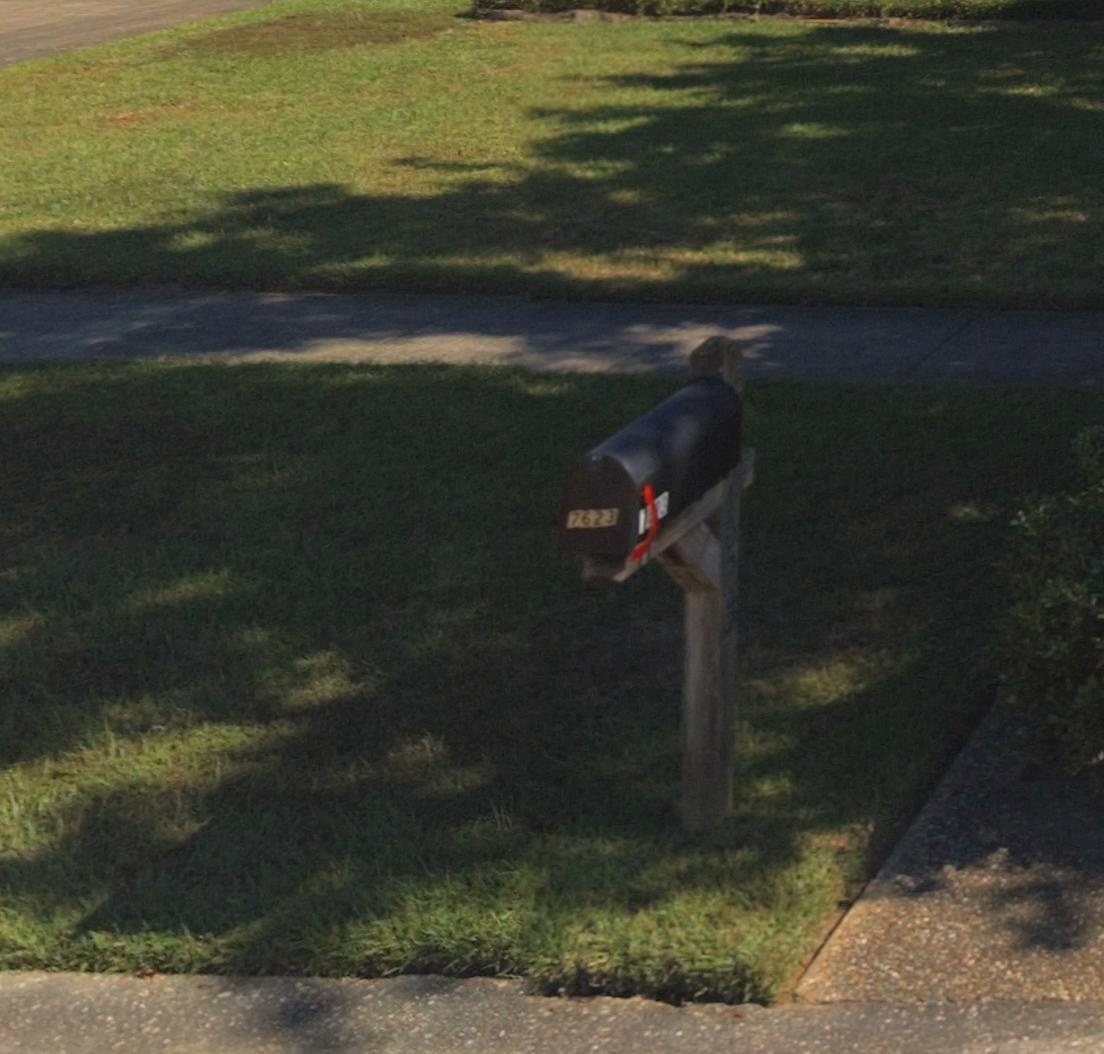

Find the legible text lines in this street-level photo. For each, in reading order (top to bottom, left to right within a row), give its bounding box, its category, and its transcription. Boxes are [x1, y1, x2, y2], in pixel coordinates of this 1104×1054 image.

[569, 509, 617, 528] StreetNumber: 7623